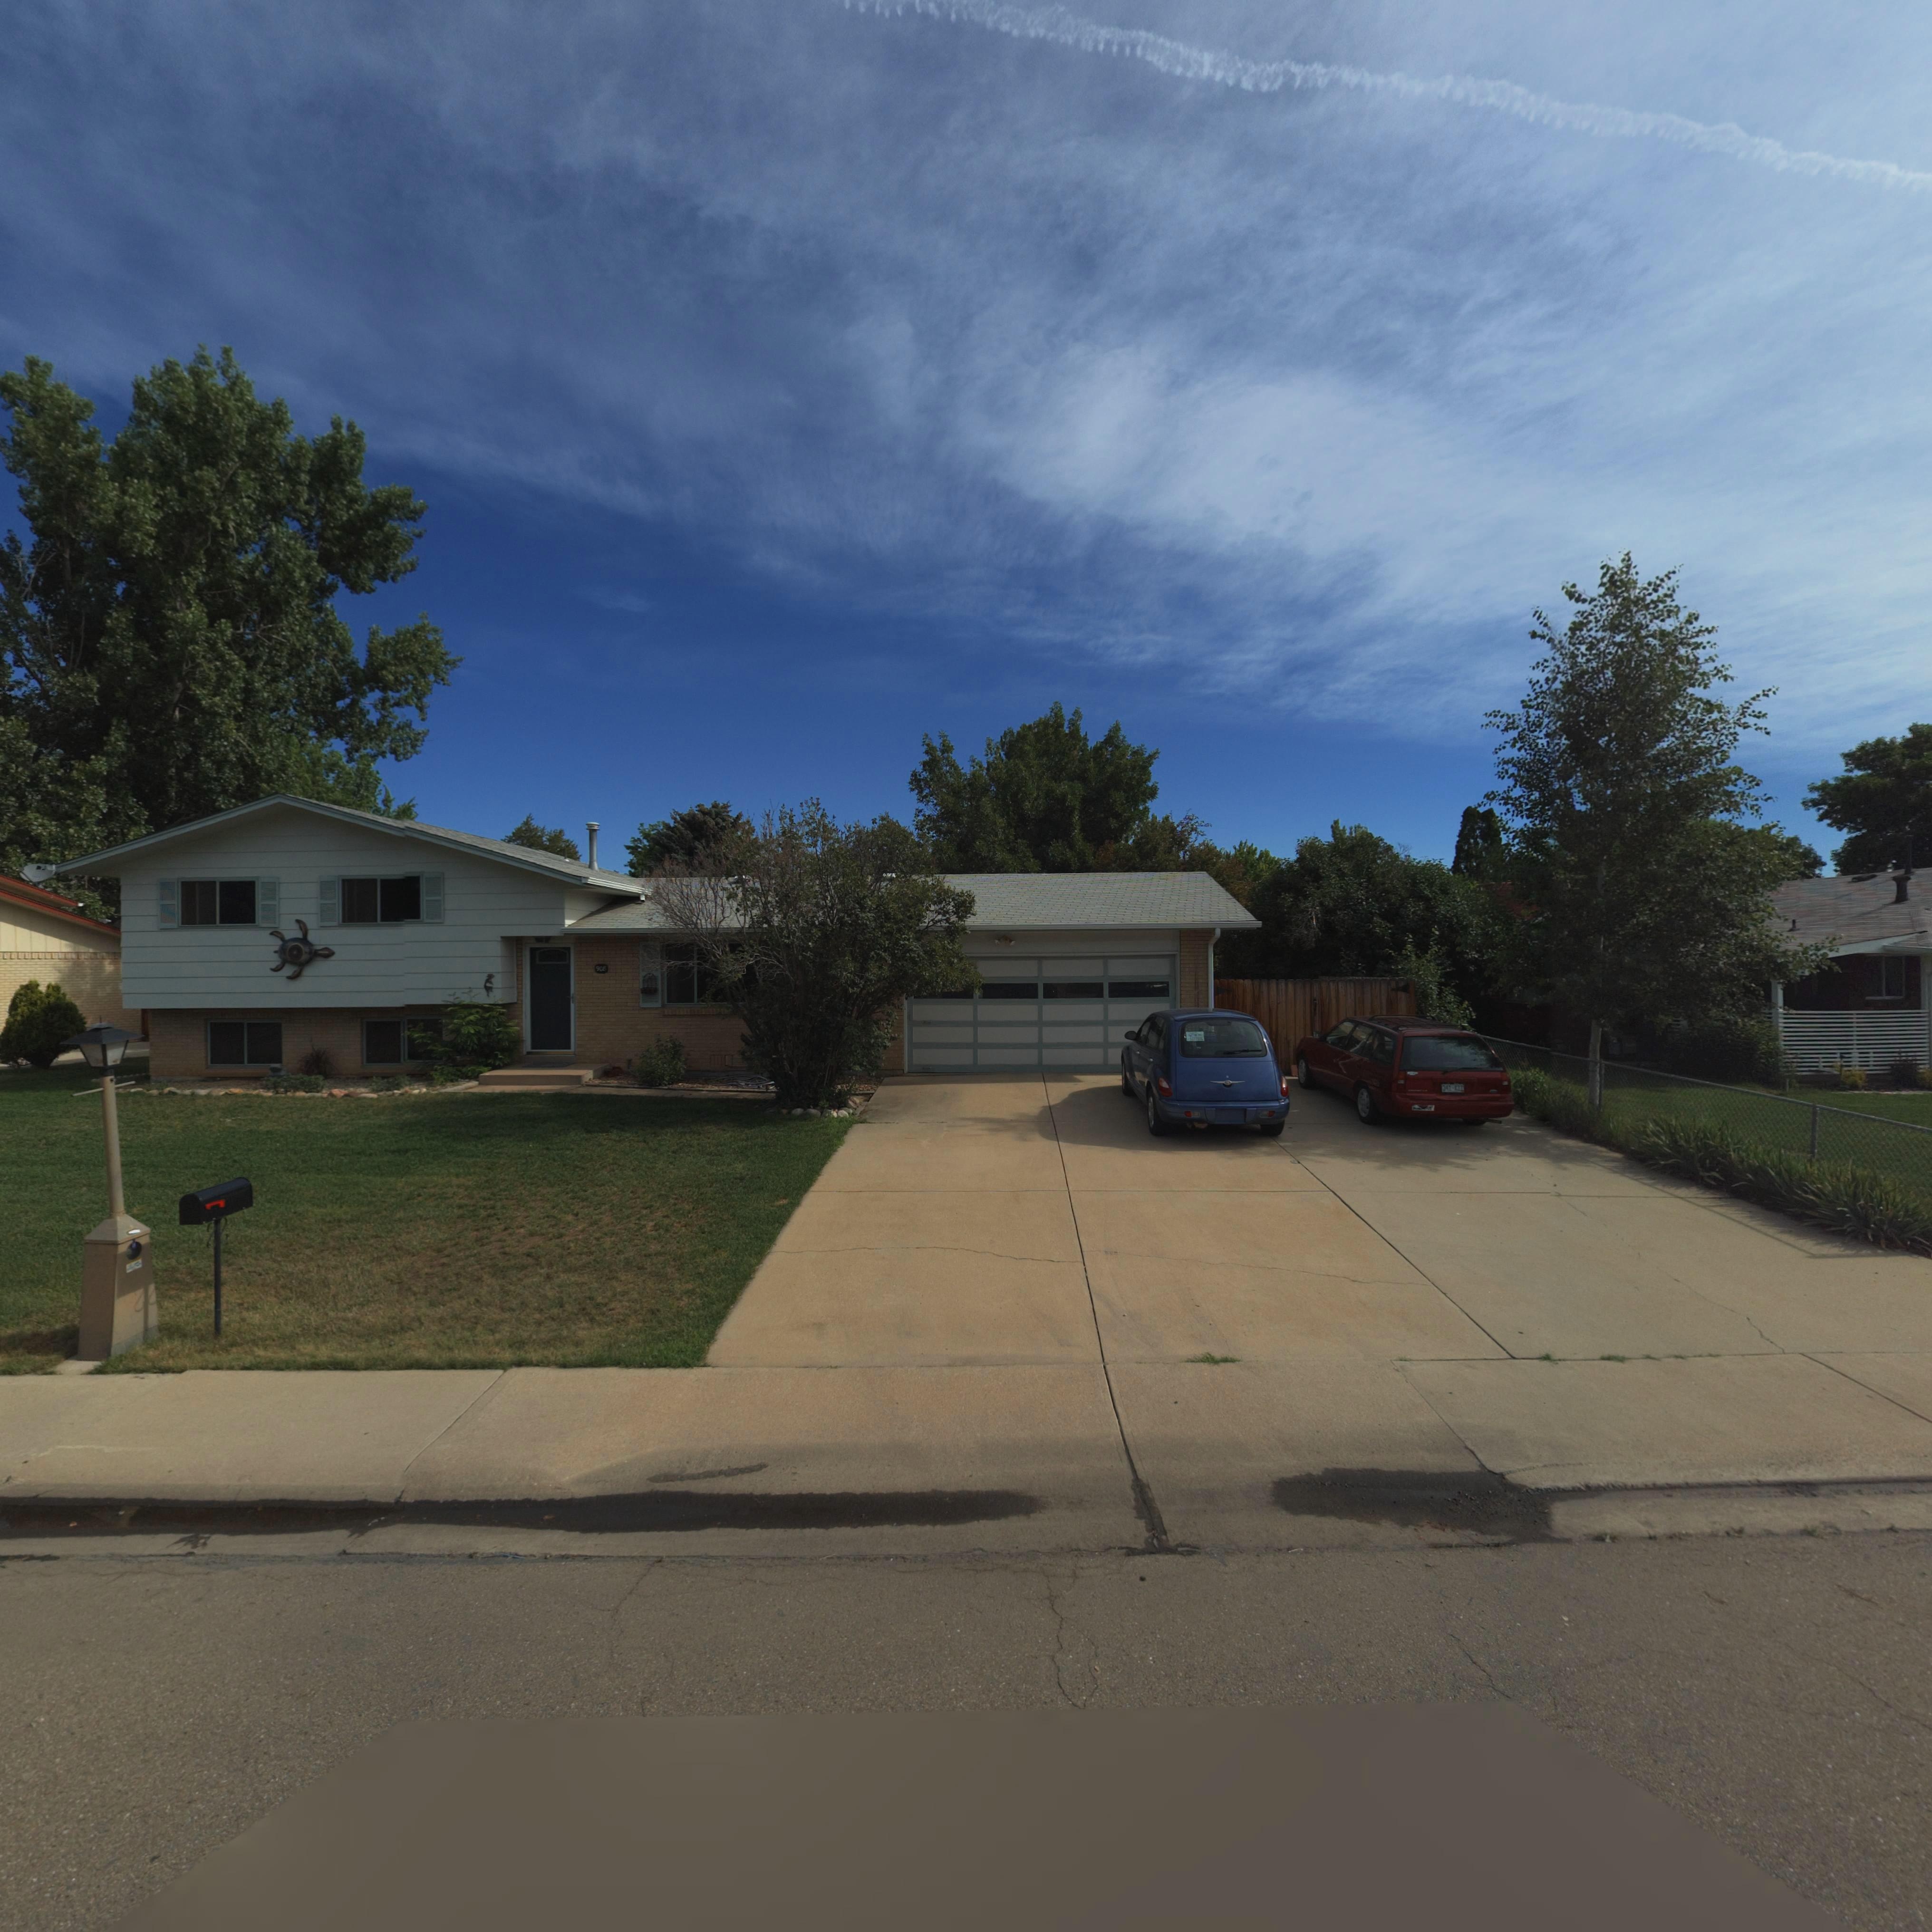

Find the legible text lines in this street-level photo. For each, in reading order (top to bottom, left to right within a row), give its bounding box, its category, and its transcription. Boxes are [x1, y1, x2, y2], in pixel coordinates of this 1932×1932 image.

[595, 965, 607, 972] StreetNumber: 908